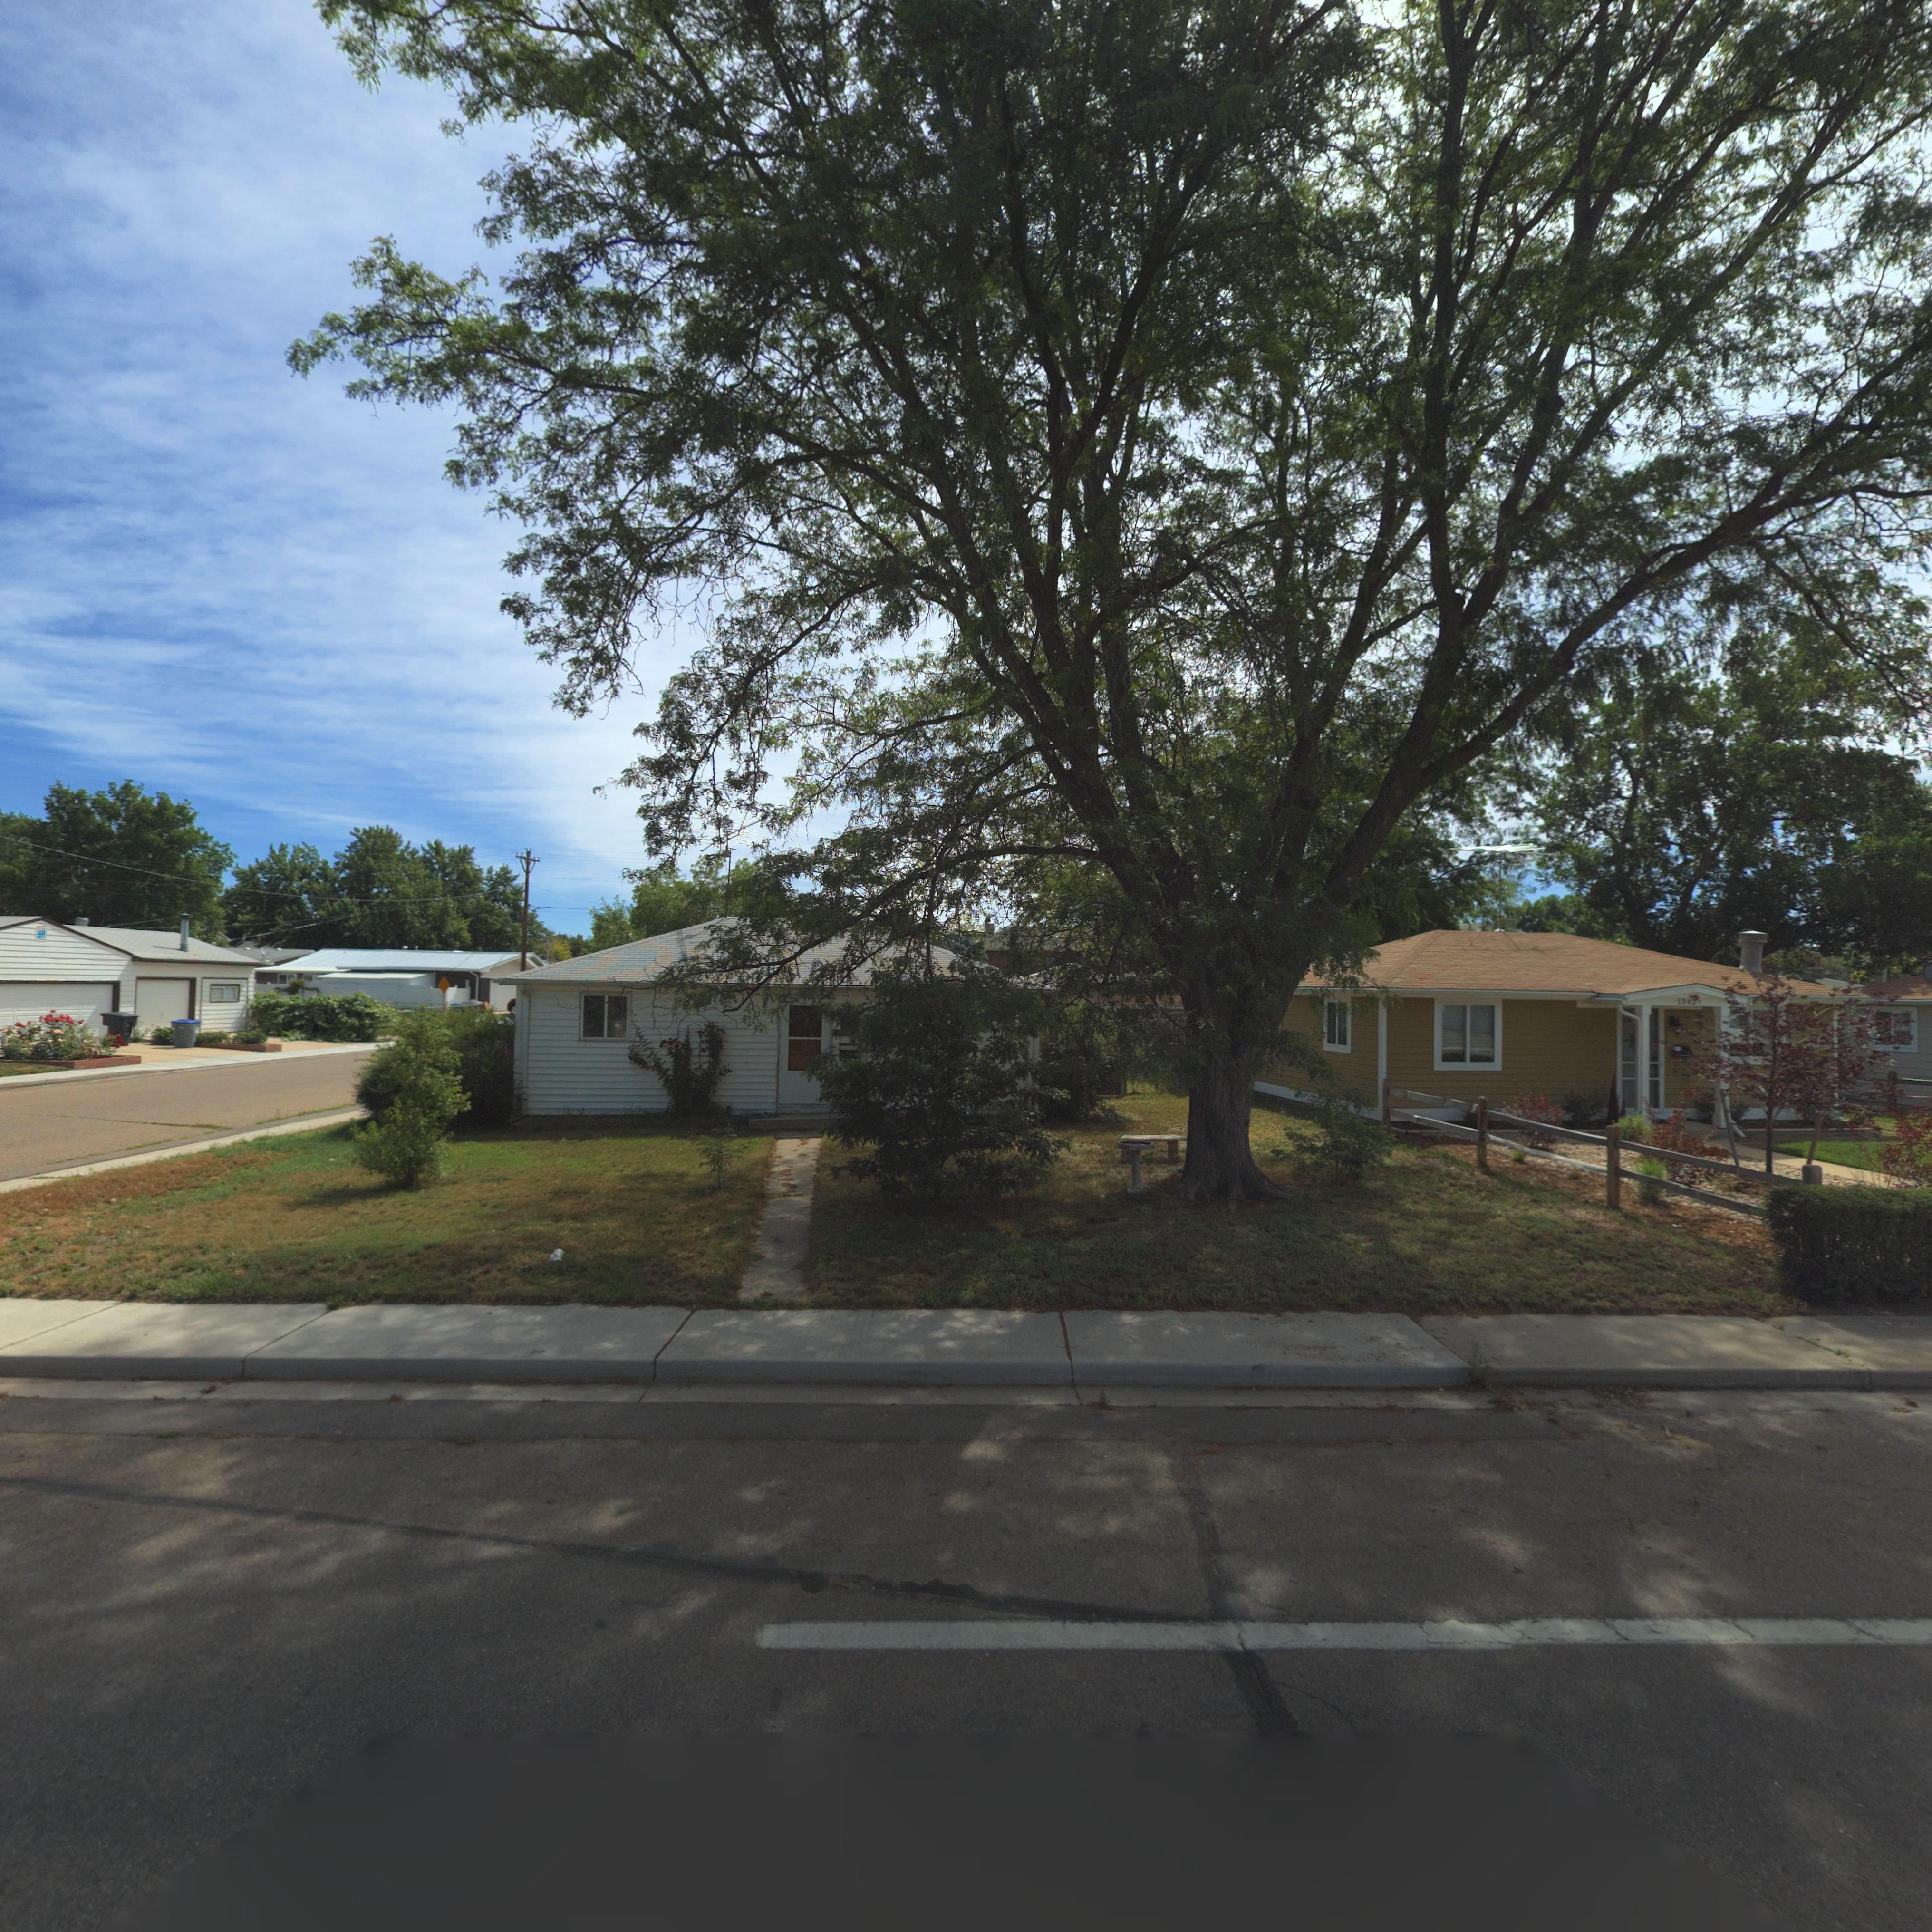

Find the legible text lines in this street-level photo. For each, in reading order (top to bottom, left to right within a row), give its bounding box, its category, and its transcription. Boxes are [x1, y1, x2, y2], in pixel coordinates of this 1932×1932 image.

[1677, 998, 1695, 1005] StreetNumber: 134*